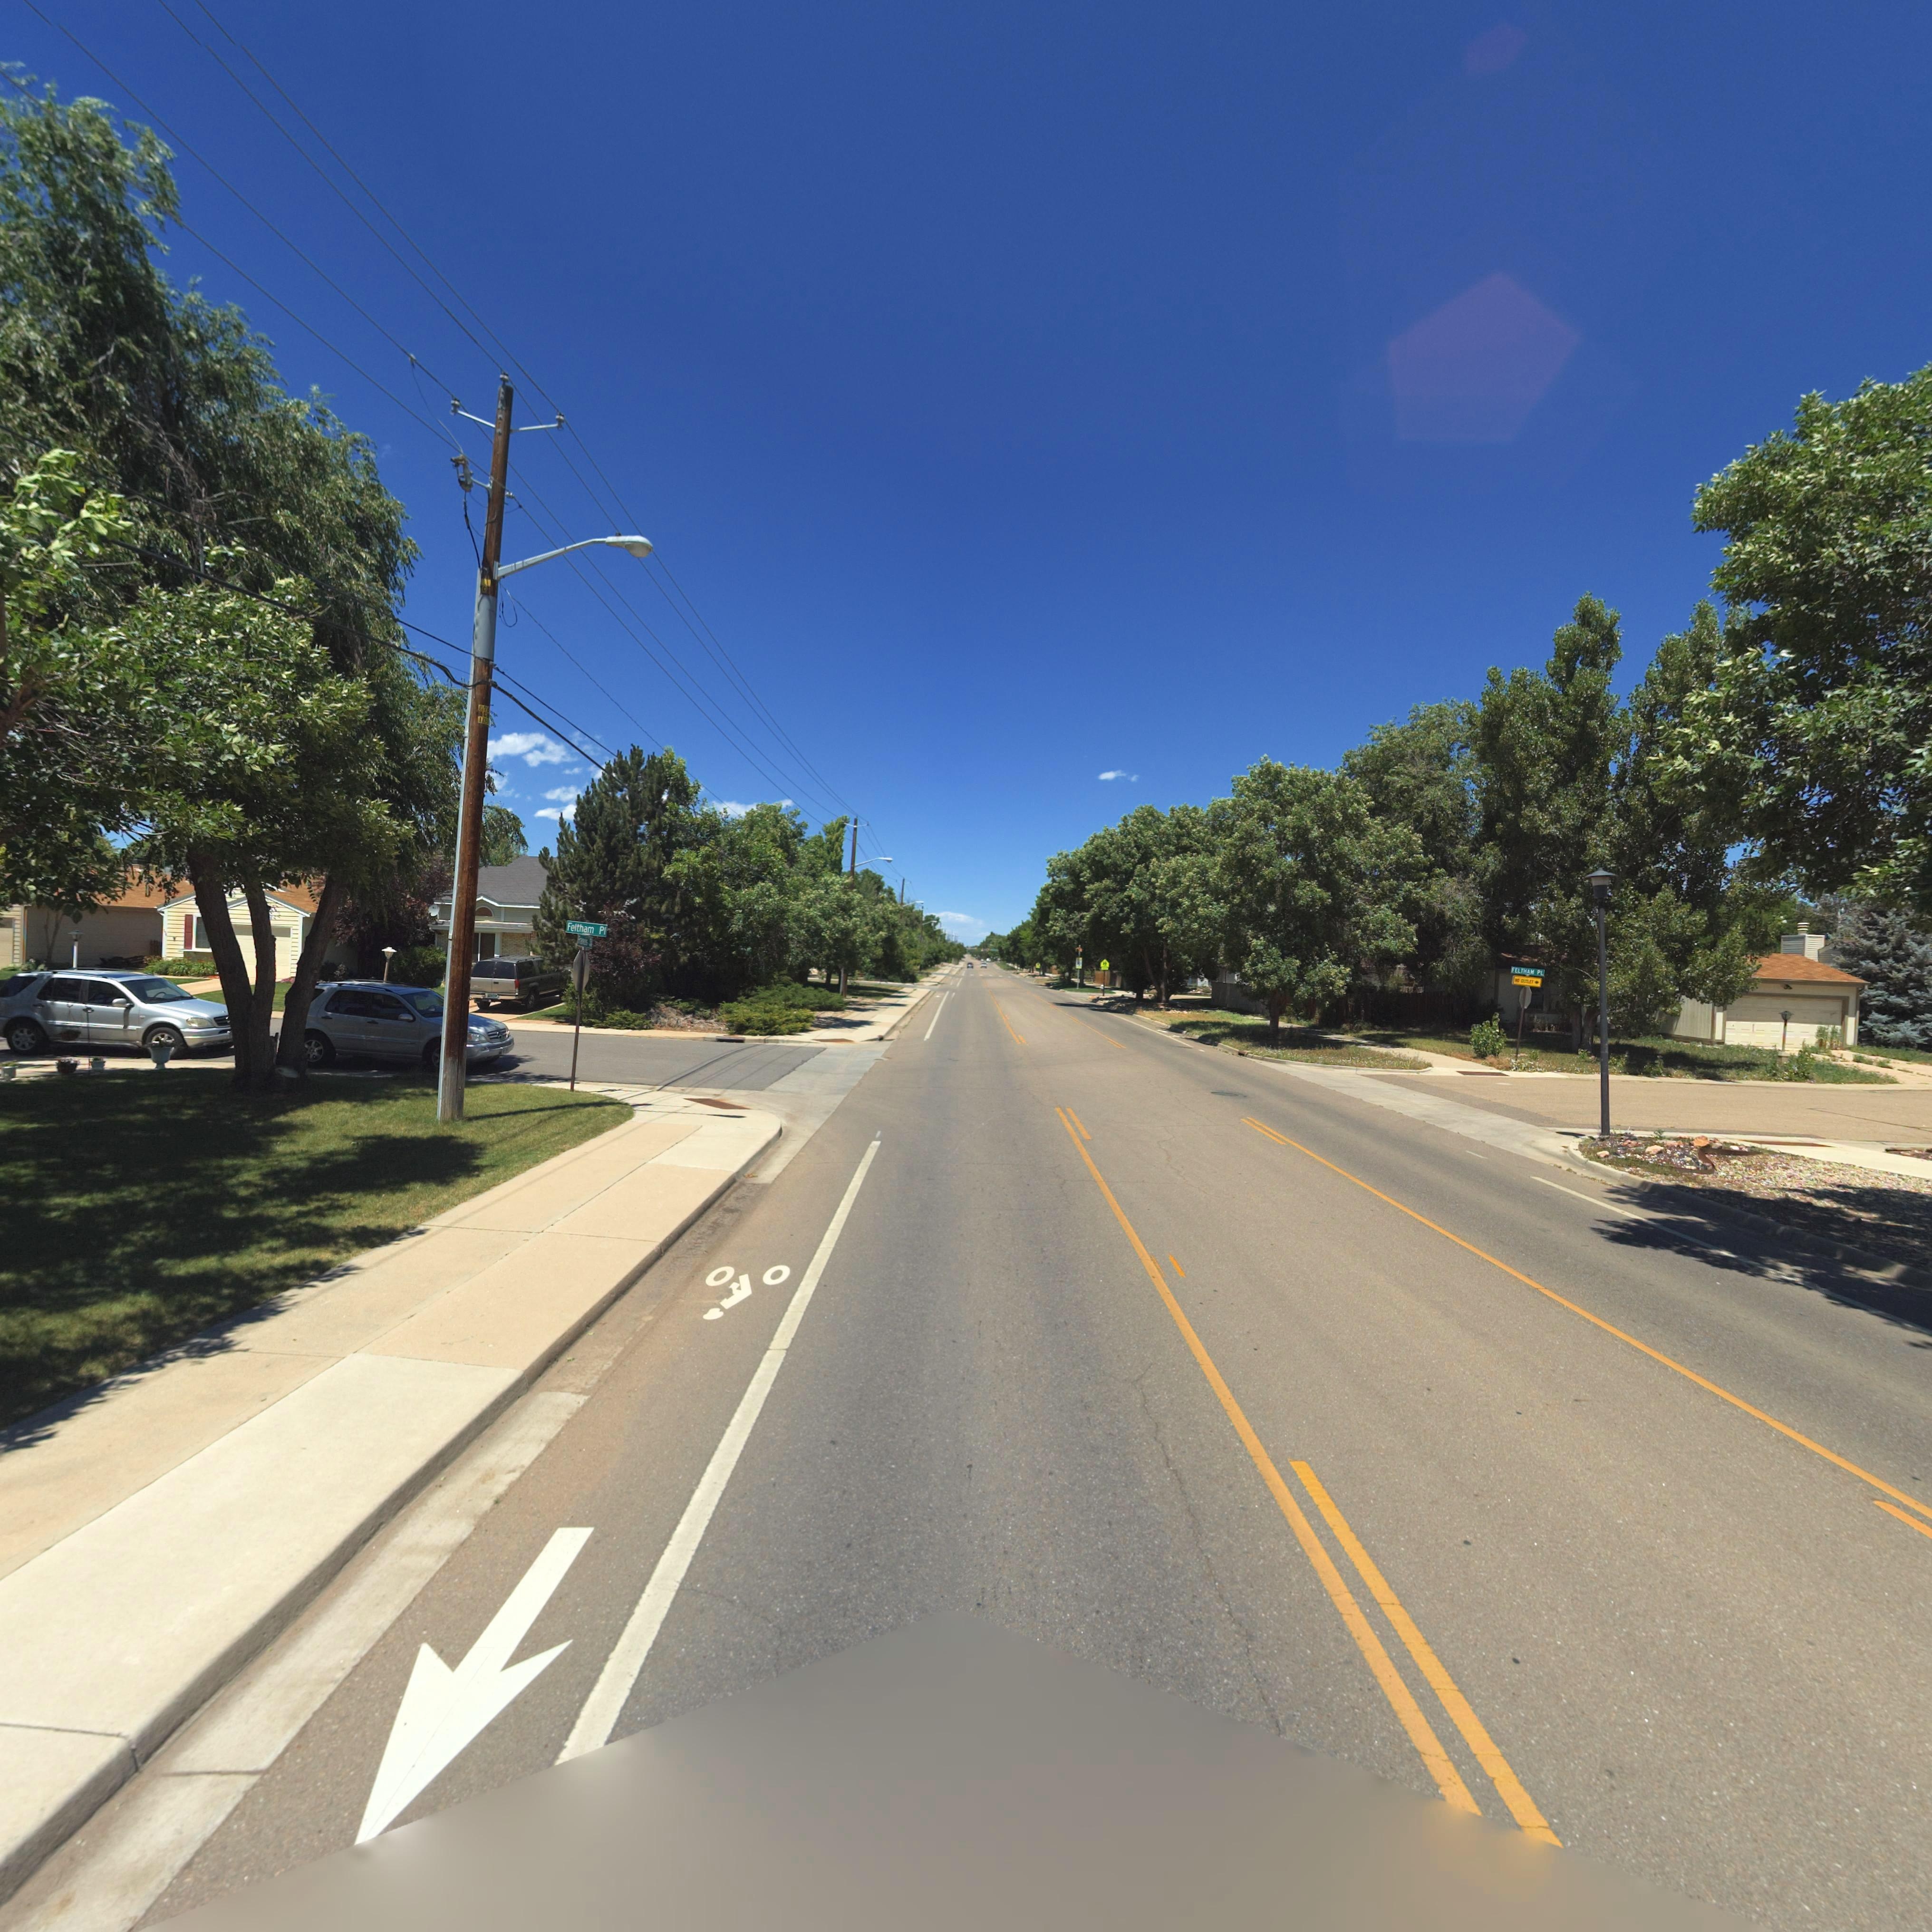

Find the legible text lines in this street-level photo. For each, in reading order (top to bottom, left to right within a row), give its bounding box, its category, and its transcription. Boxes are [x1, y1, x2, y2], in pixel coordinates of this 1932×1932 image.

[566, 922, 607, 935] StreetName: Feltham Pl
[577, 934, 593, 947] StreetName: Francis St
[1511, 966, 1544, 976] StreetName: FELTHAM PL